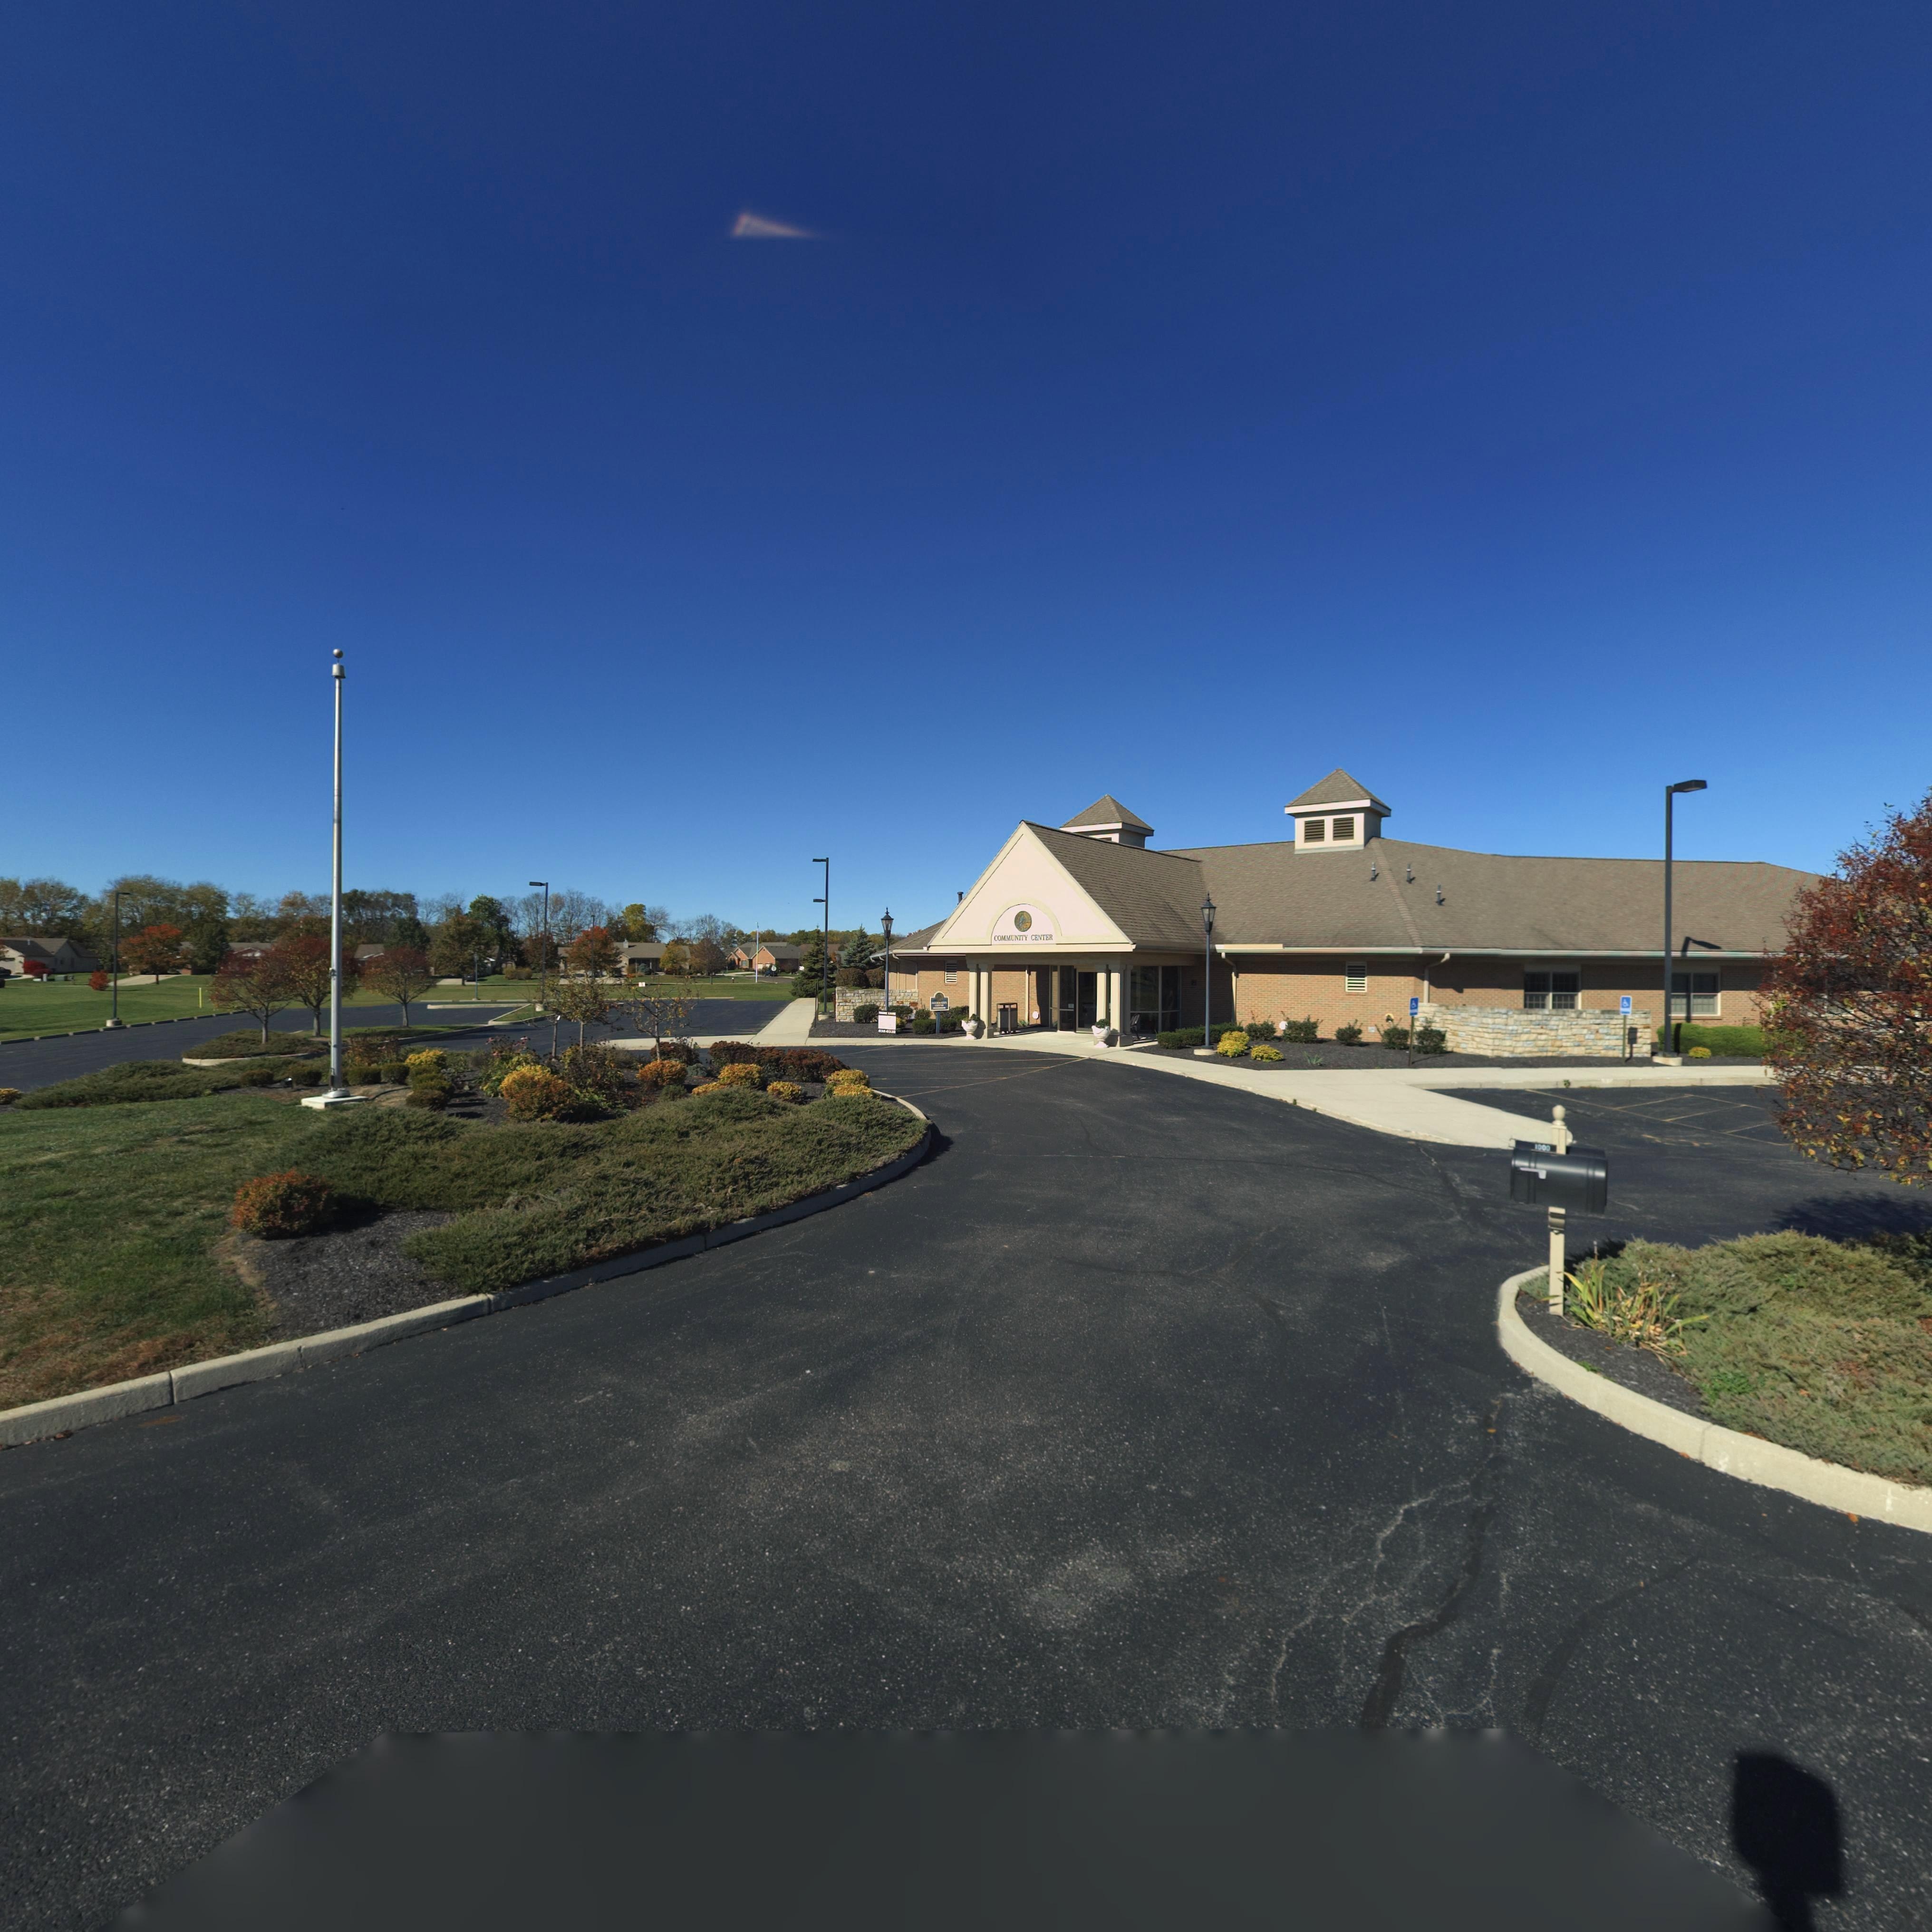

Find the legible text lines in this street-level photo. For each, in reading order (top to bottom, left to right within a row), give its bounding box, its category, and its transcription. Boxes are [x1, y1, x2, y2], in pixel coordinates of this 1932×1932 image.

[993, 934, 1053, 942] None: COMMUNITY CENTER
[1534, 1143, 1551, 1152] StreetNumber: 1000